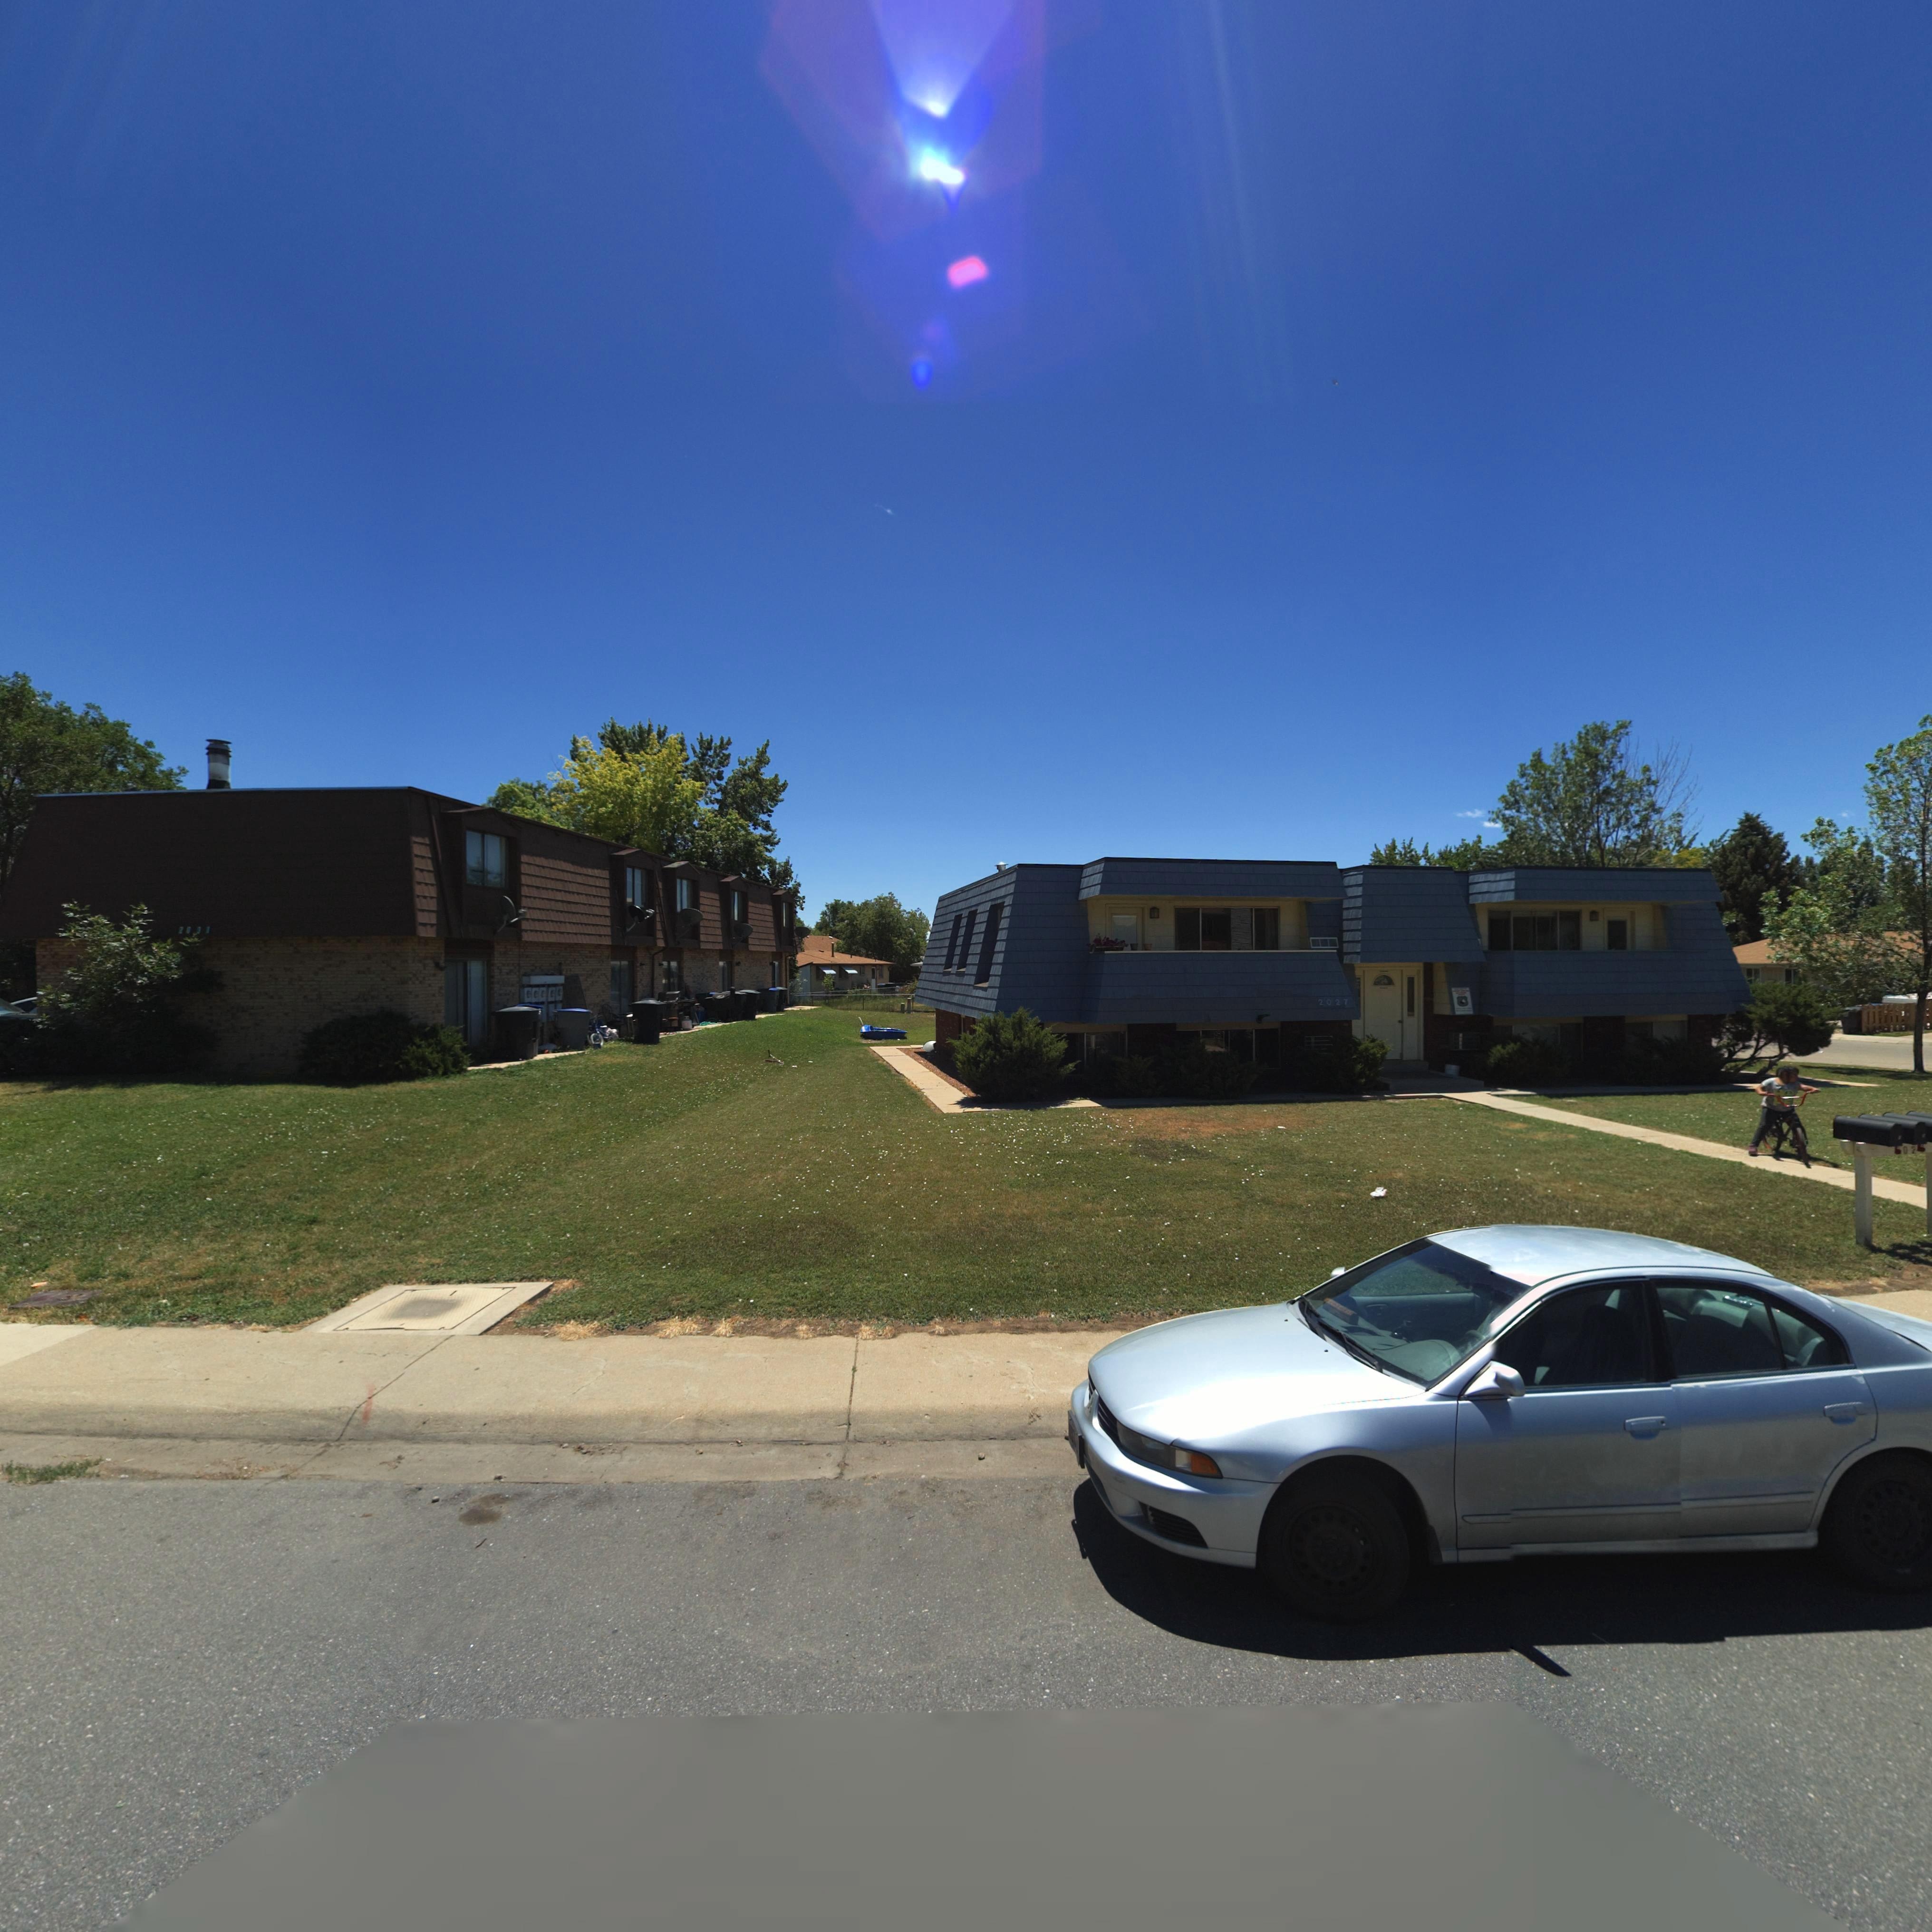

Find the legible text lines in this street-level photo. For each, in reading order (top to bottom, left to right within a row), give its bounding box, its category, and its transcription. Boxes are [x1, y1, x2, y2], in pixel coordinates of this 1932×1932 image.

[177, 925, 211, 935] StreetNumber: 2031
[1317, 998, 1349, 1006] StreetNumber: 2027
[1899, 1145, 1918, 1155] StreetNumber: 02